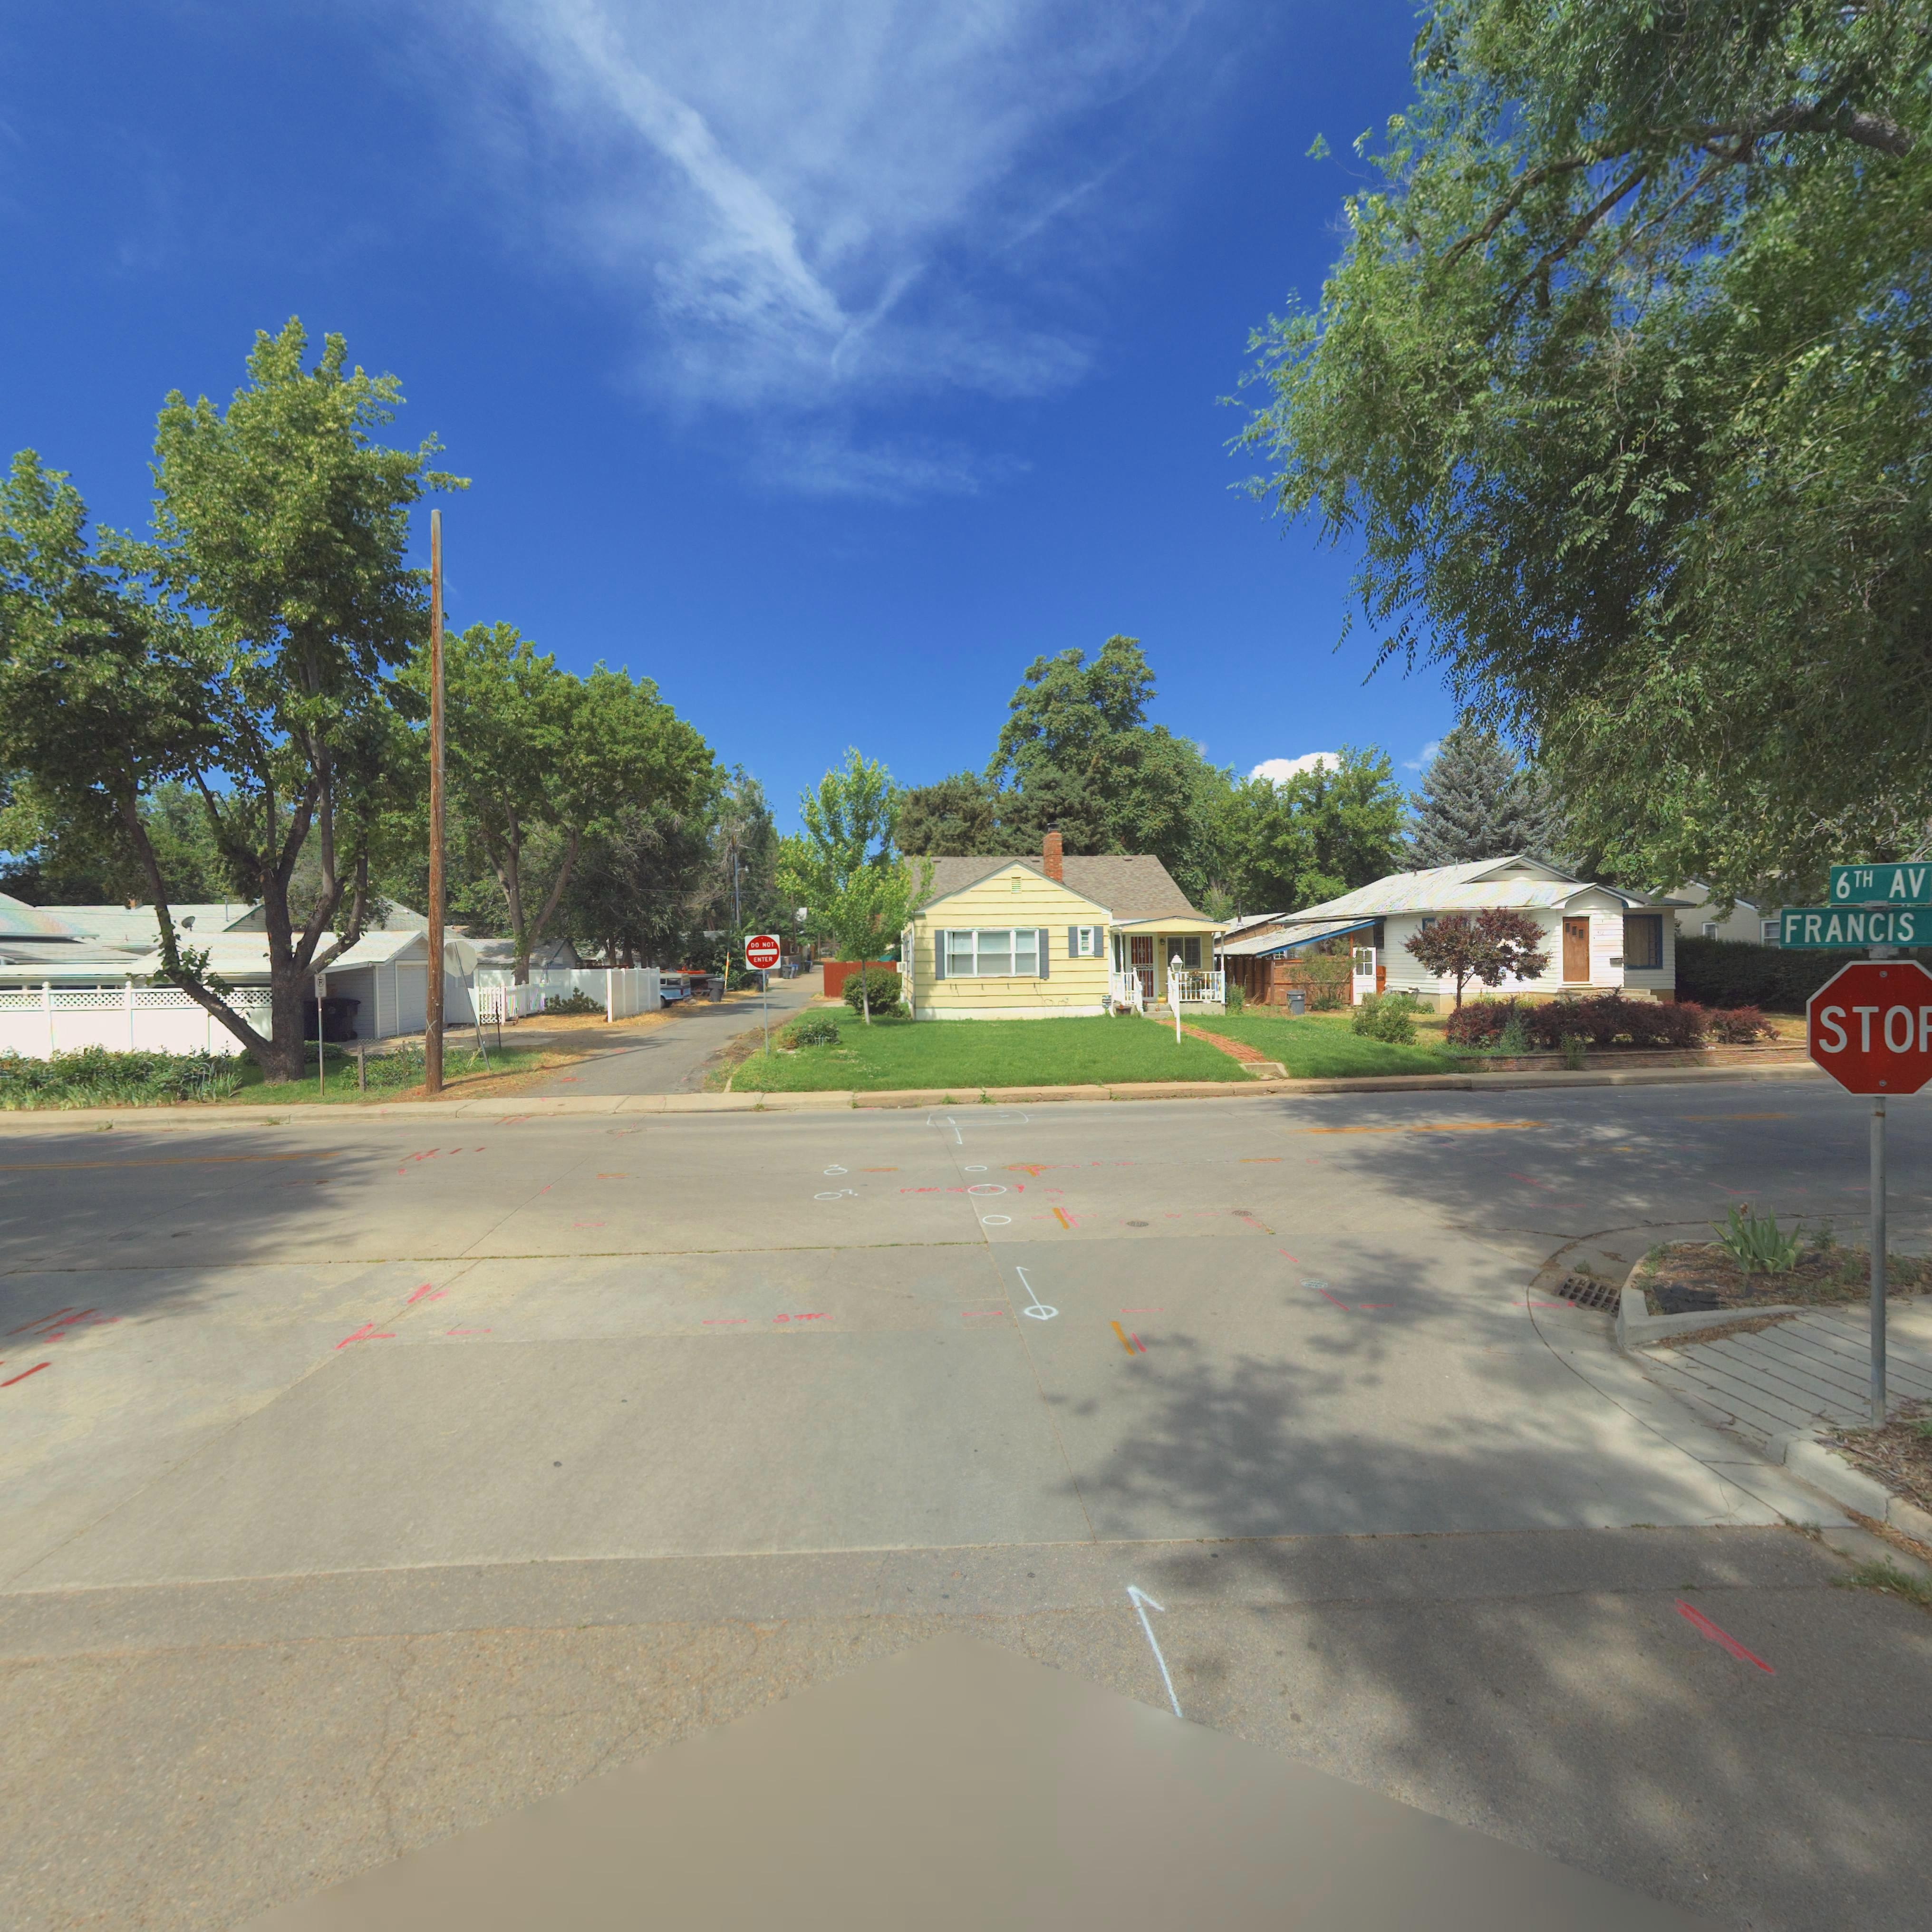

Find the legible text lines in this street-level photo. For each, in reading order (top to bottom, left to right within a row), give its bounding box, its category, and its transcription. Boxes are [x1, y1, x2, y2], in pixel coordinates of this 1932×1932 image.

[1835, 868, 1925, 898] StreetName: 6TH AV
[1786, 912, 1914, 943] StreetName: FRANCIS
[1159, 951, 1165, 955] StreetNumber: 4**